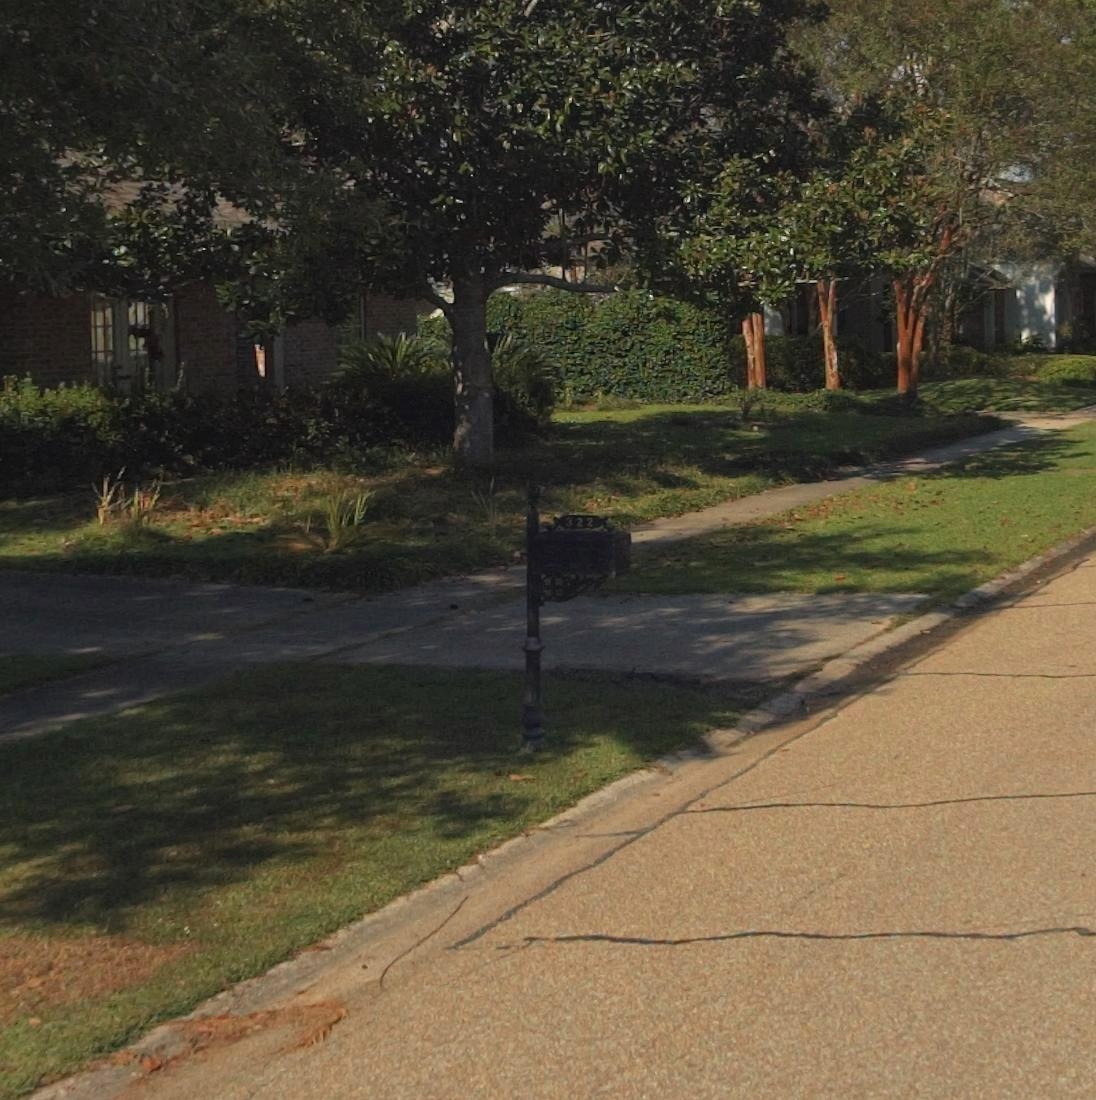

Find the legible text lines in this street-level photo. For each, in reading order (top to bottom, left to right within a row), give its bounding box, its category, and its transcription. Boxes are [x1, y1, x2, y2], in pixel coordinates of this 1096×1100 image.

[564, 516, 595, 527] StreetNumber: 322